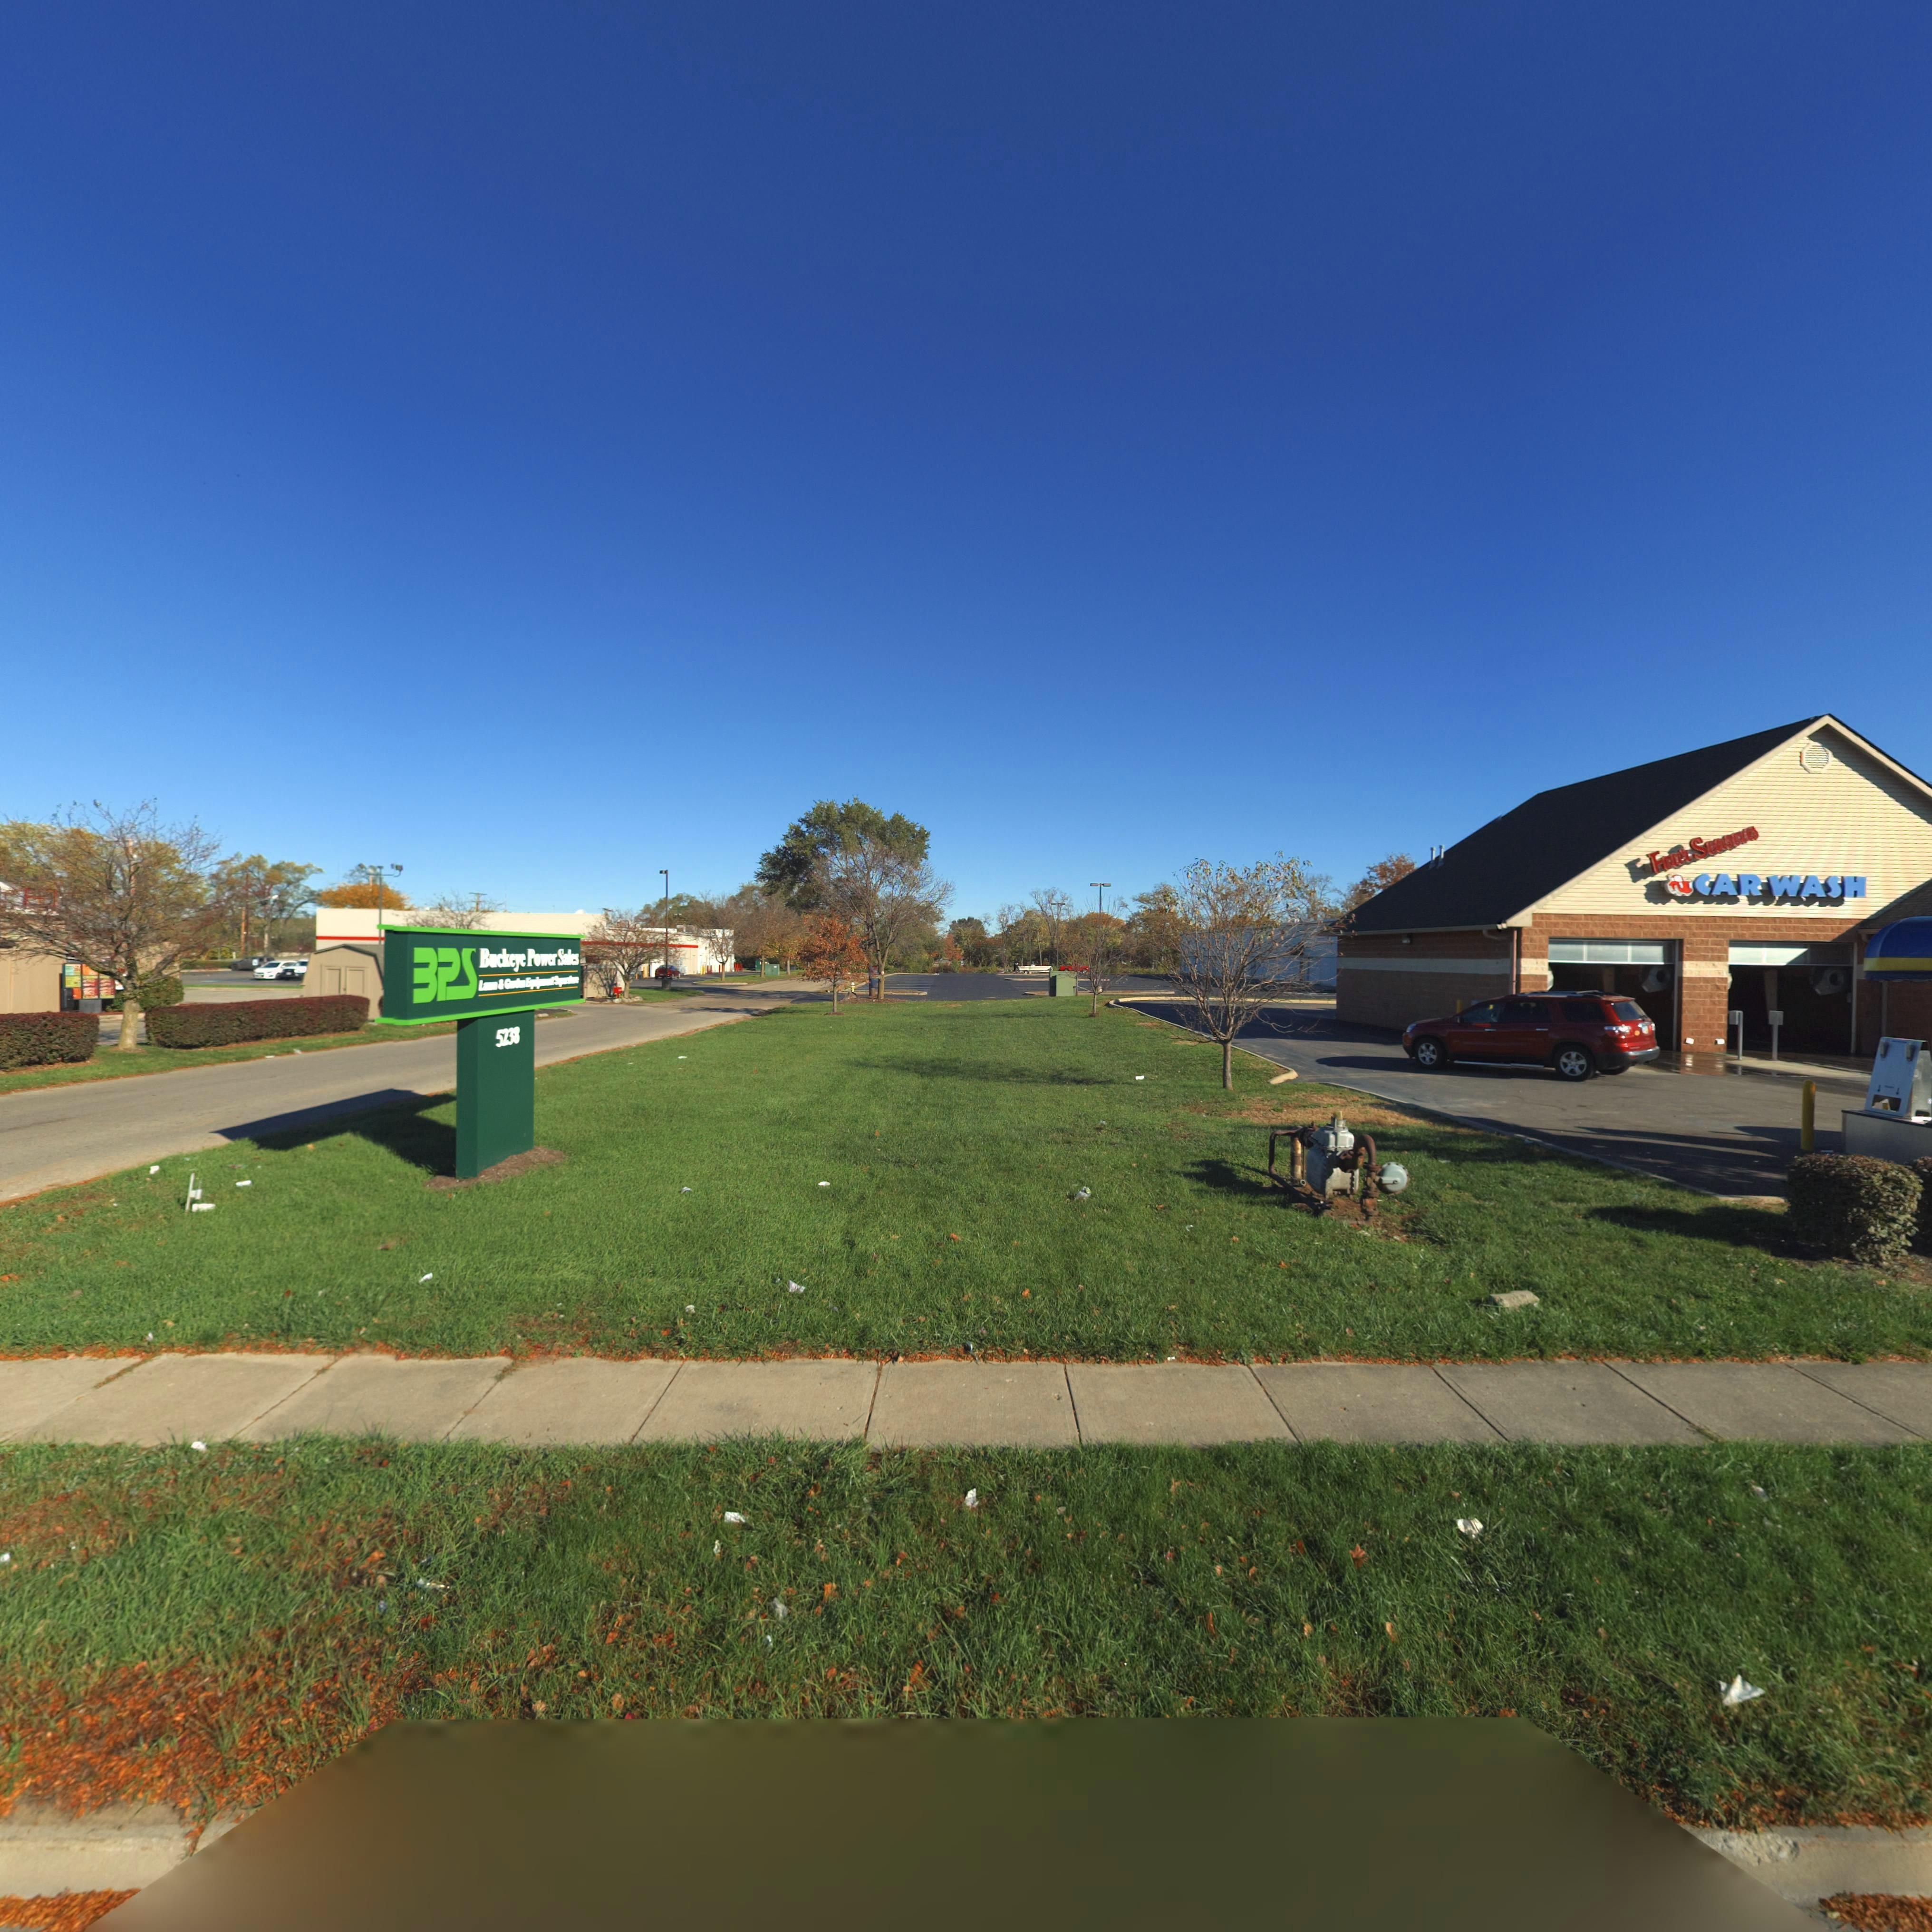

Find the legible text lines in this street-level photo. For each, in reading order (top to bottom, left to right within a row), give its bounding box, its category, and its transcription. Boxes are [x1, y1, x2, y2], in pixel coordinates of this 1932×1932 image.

[493, 1024, 523, 1051] StreetNumber: 5238